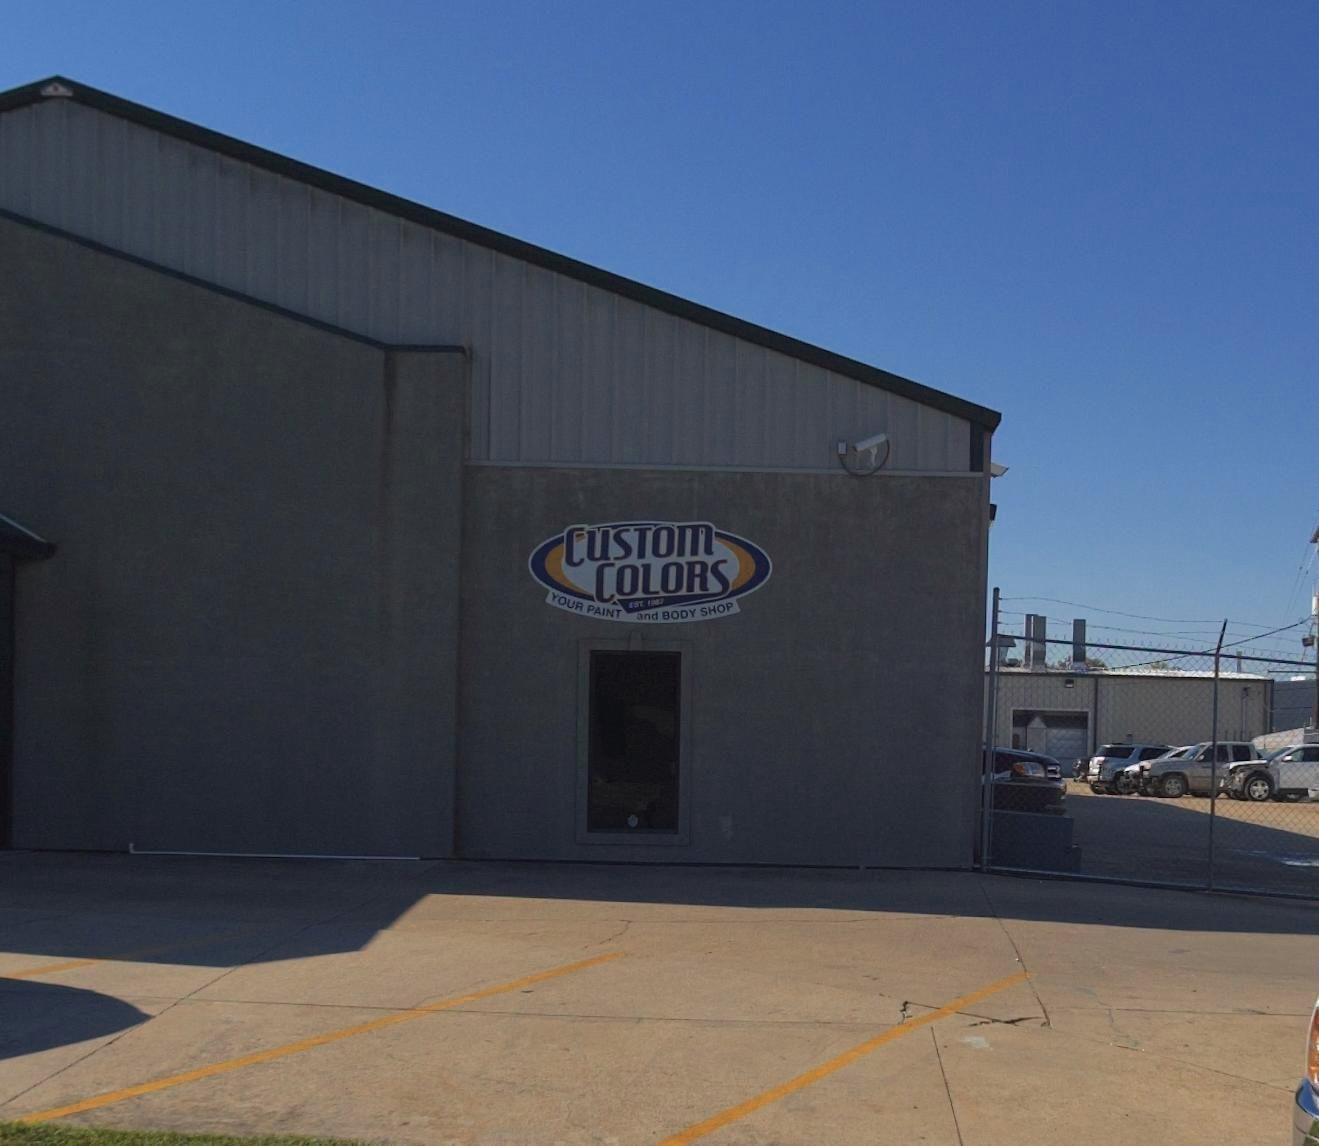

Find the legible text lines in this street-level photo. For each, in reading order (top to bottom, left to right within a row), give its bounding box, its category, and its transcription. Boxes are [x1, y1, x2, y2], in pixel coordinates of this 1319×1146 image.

[563, 522, 716, 570] BusinessName: CUSTOM
[593, 557, 733, 606] BusinessName: COLORS
[549, 590, 736, 622] None: YOUR PAINT and BODY SHOP